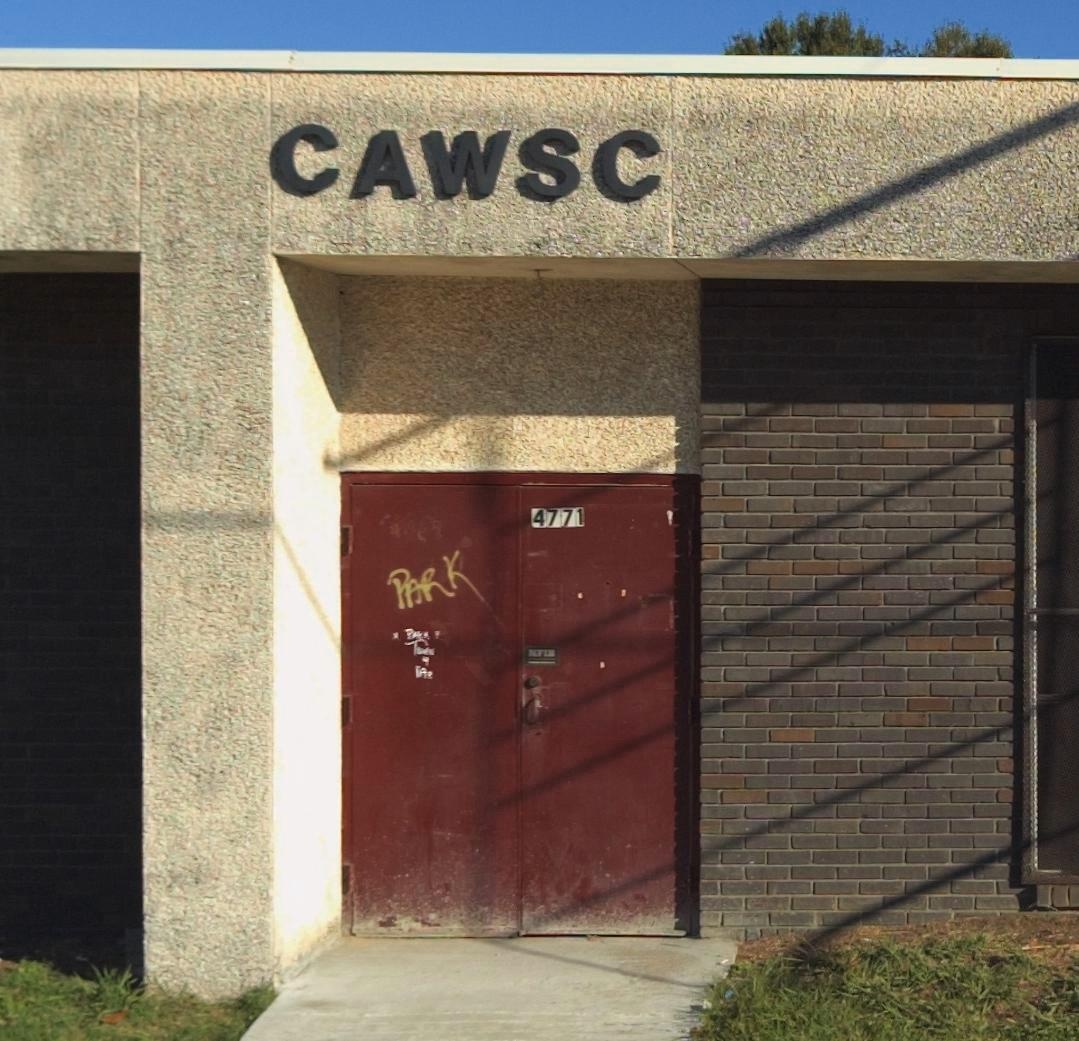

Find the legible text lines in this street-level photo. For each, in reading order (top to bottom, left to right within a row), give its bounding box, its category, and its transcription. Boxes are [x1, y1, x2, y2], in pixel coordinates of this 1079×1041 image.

[266, 119, 665, 208] BusinessName: CAWSC
[531, 507, 586, 528] StreetNumber: 4771
[380, 545, 493, 614] None: PARK